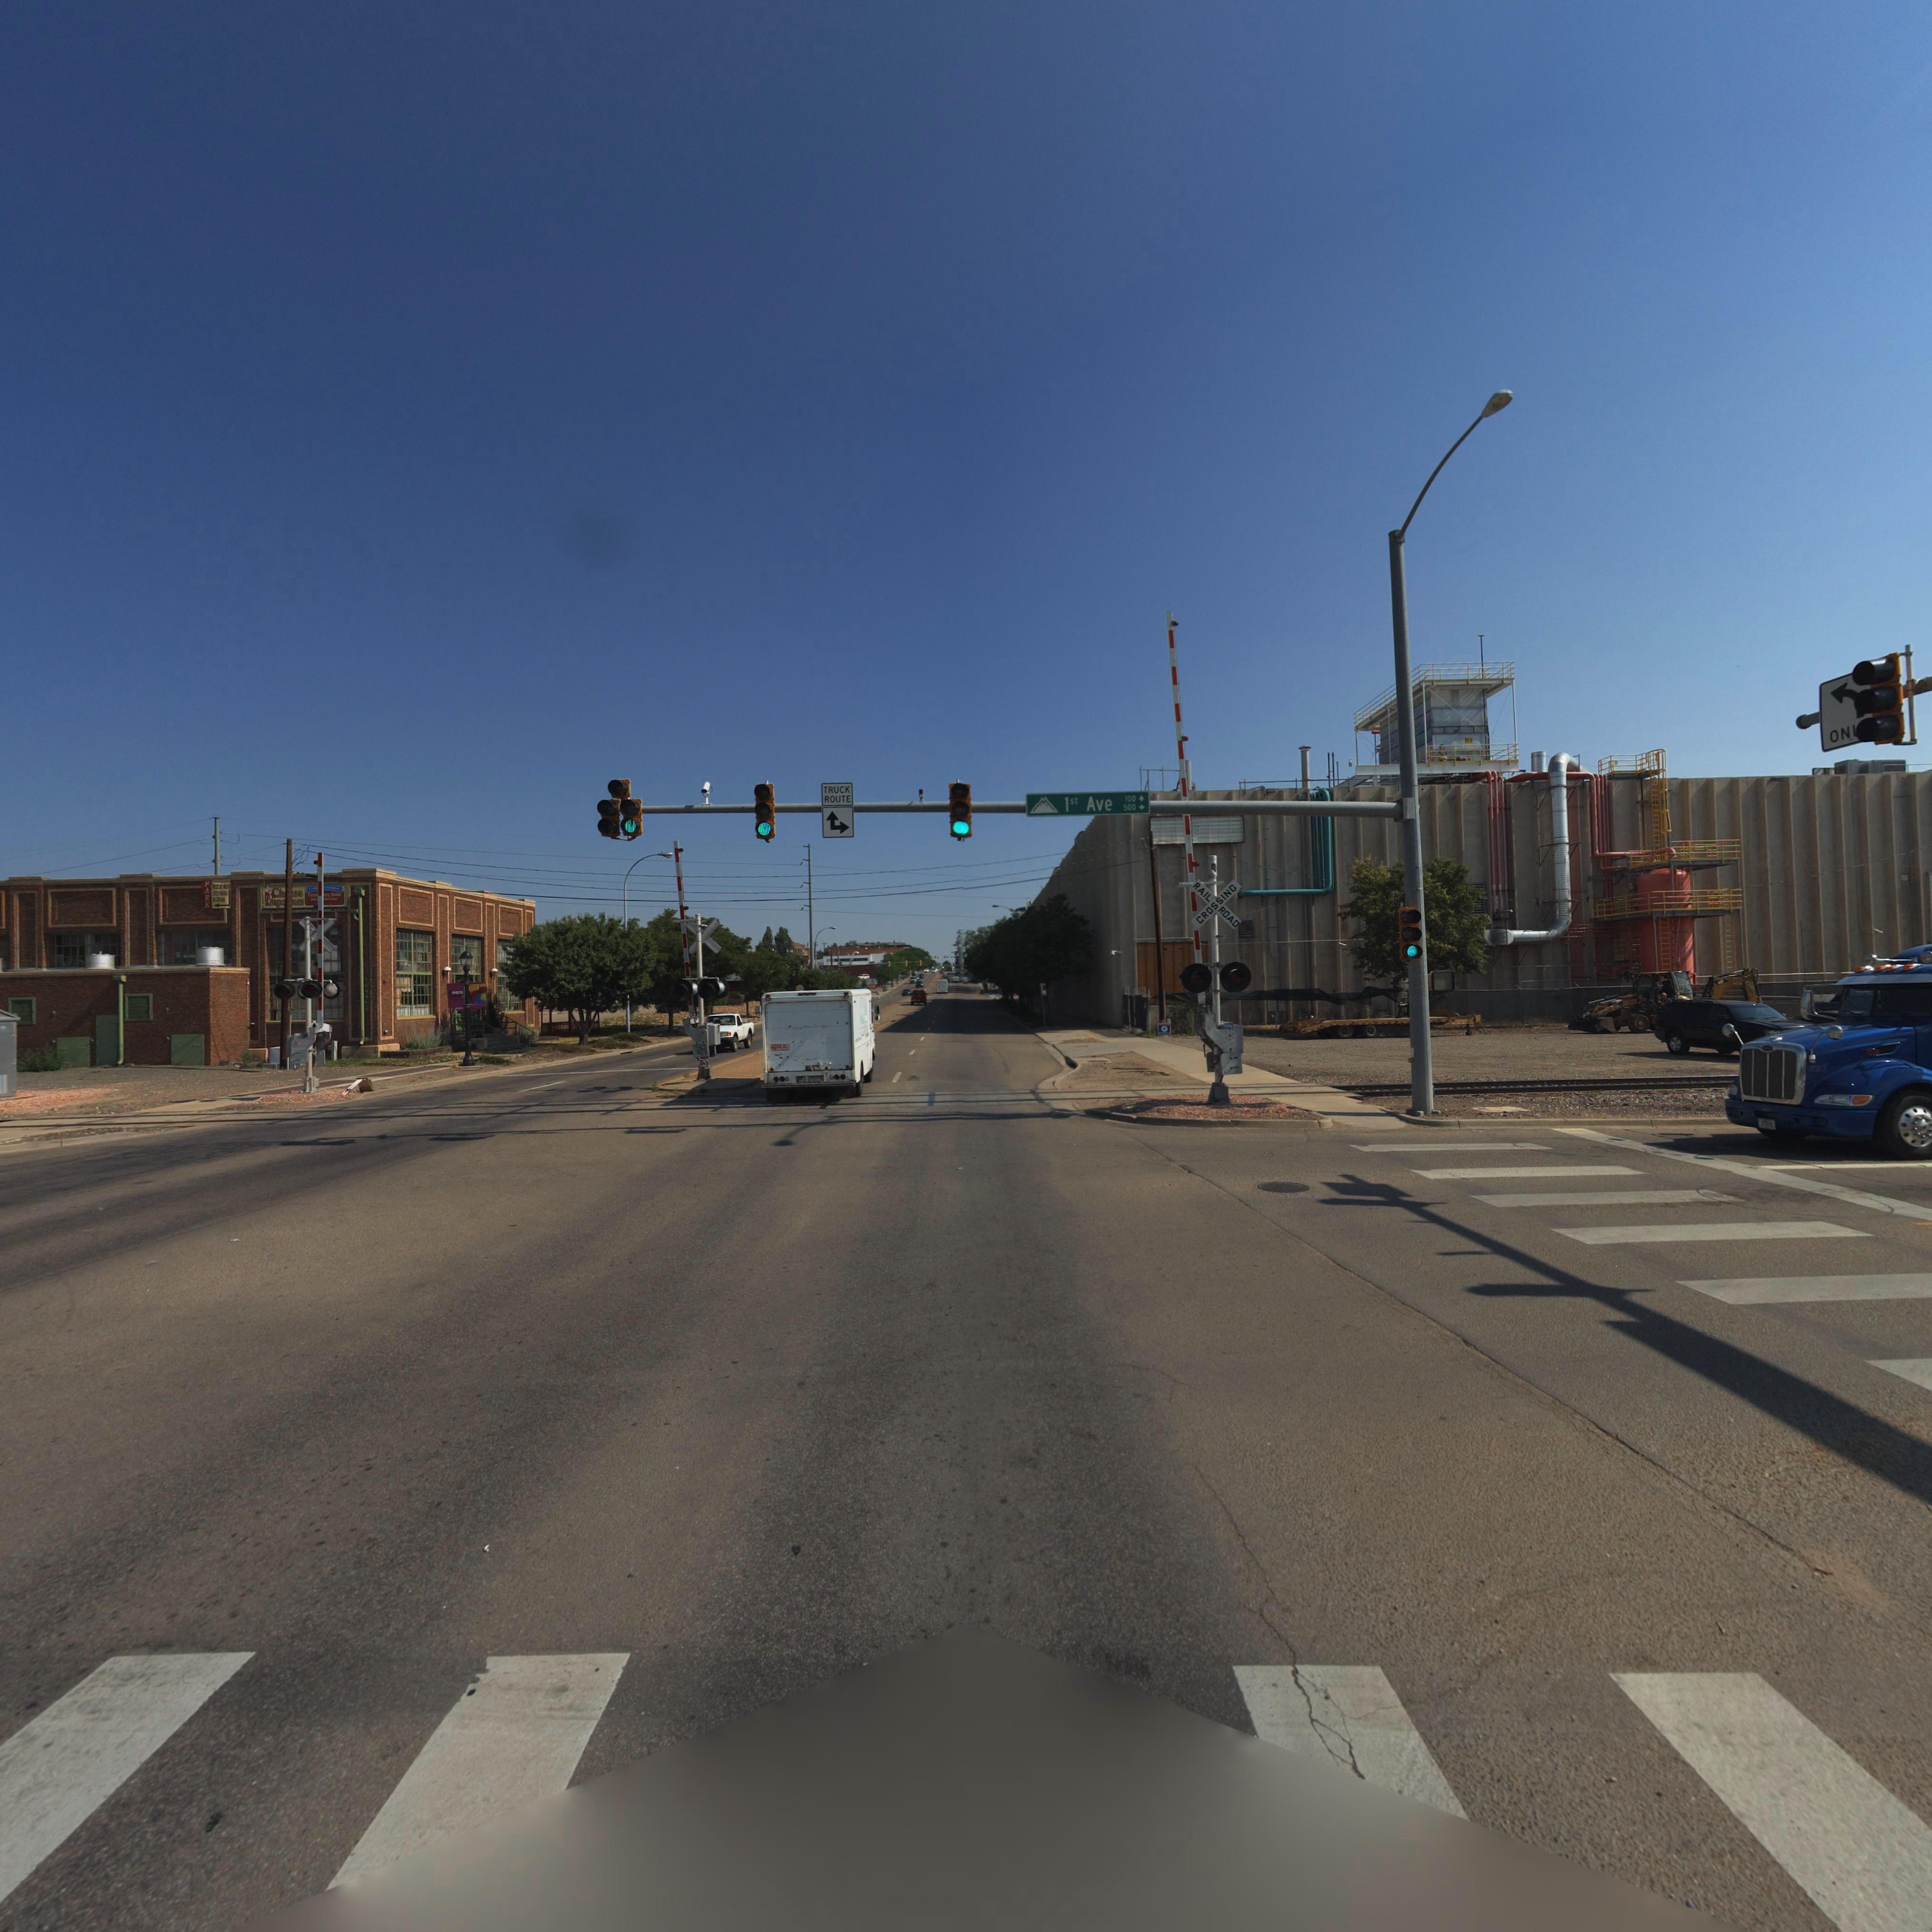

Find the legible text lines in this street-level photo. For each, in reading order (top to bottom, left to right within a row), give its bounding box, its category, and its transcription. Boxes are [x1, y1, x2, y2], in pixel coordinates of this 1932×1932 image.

[1124, 795, 1136, 802] StreetNumberRange: 100
[1064, 796, 1112, 811] StreetName: 1st Ave
[1123, 803, 1145, 811] StreetNumberRange: 500 ->
[271, 887, 303, 897] BusinessName: Ch**se
[266, 895, 304, 909] BusinessName: Imp***ers